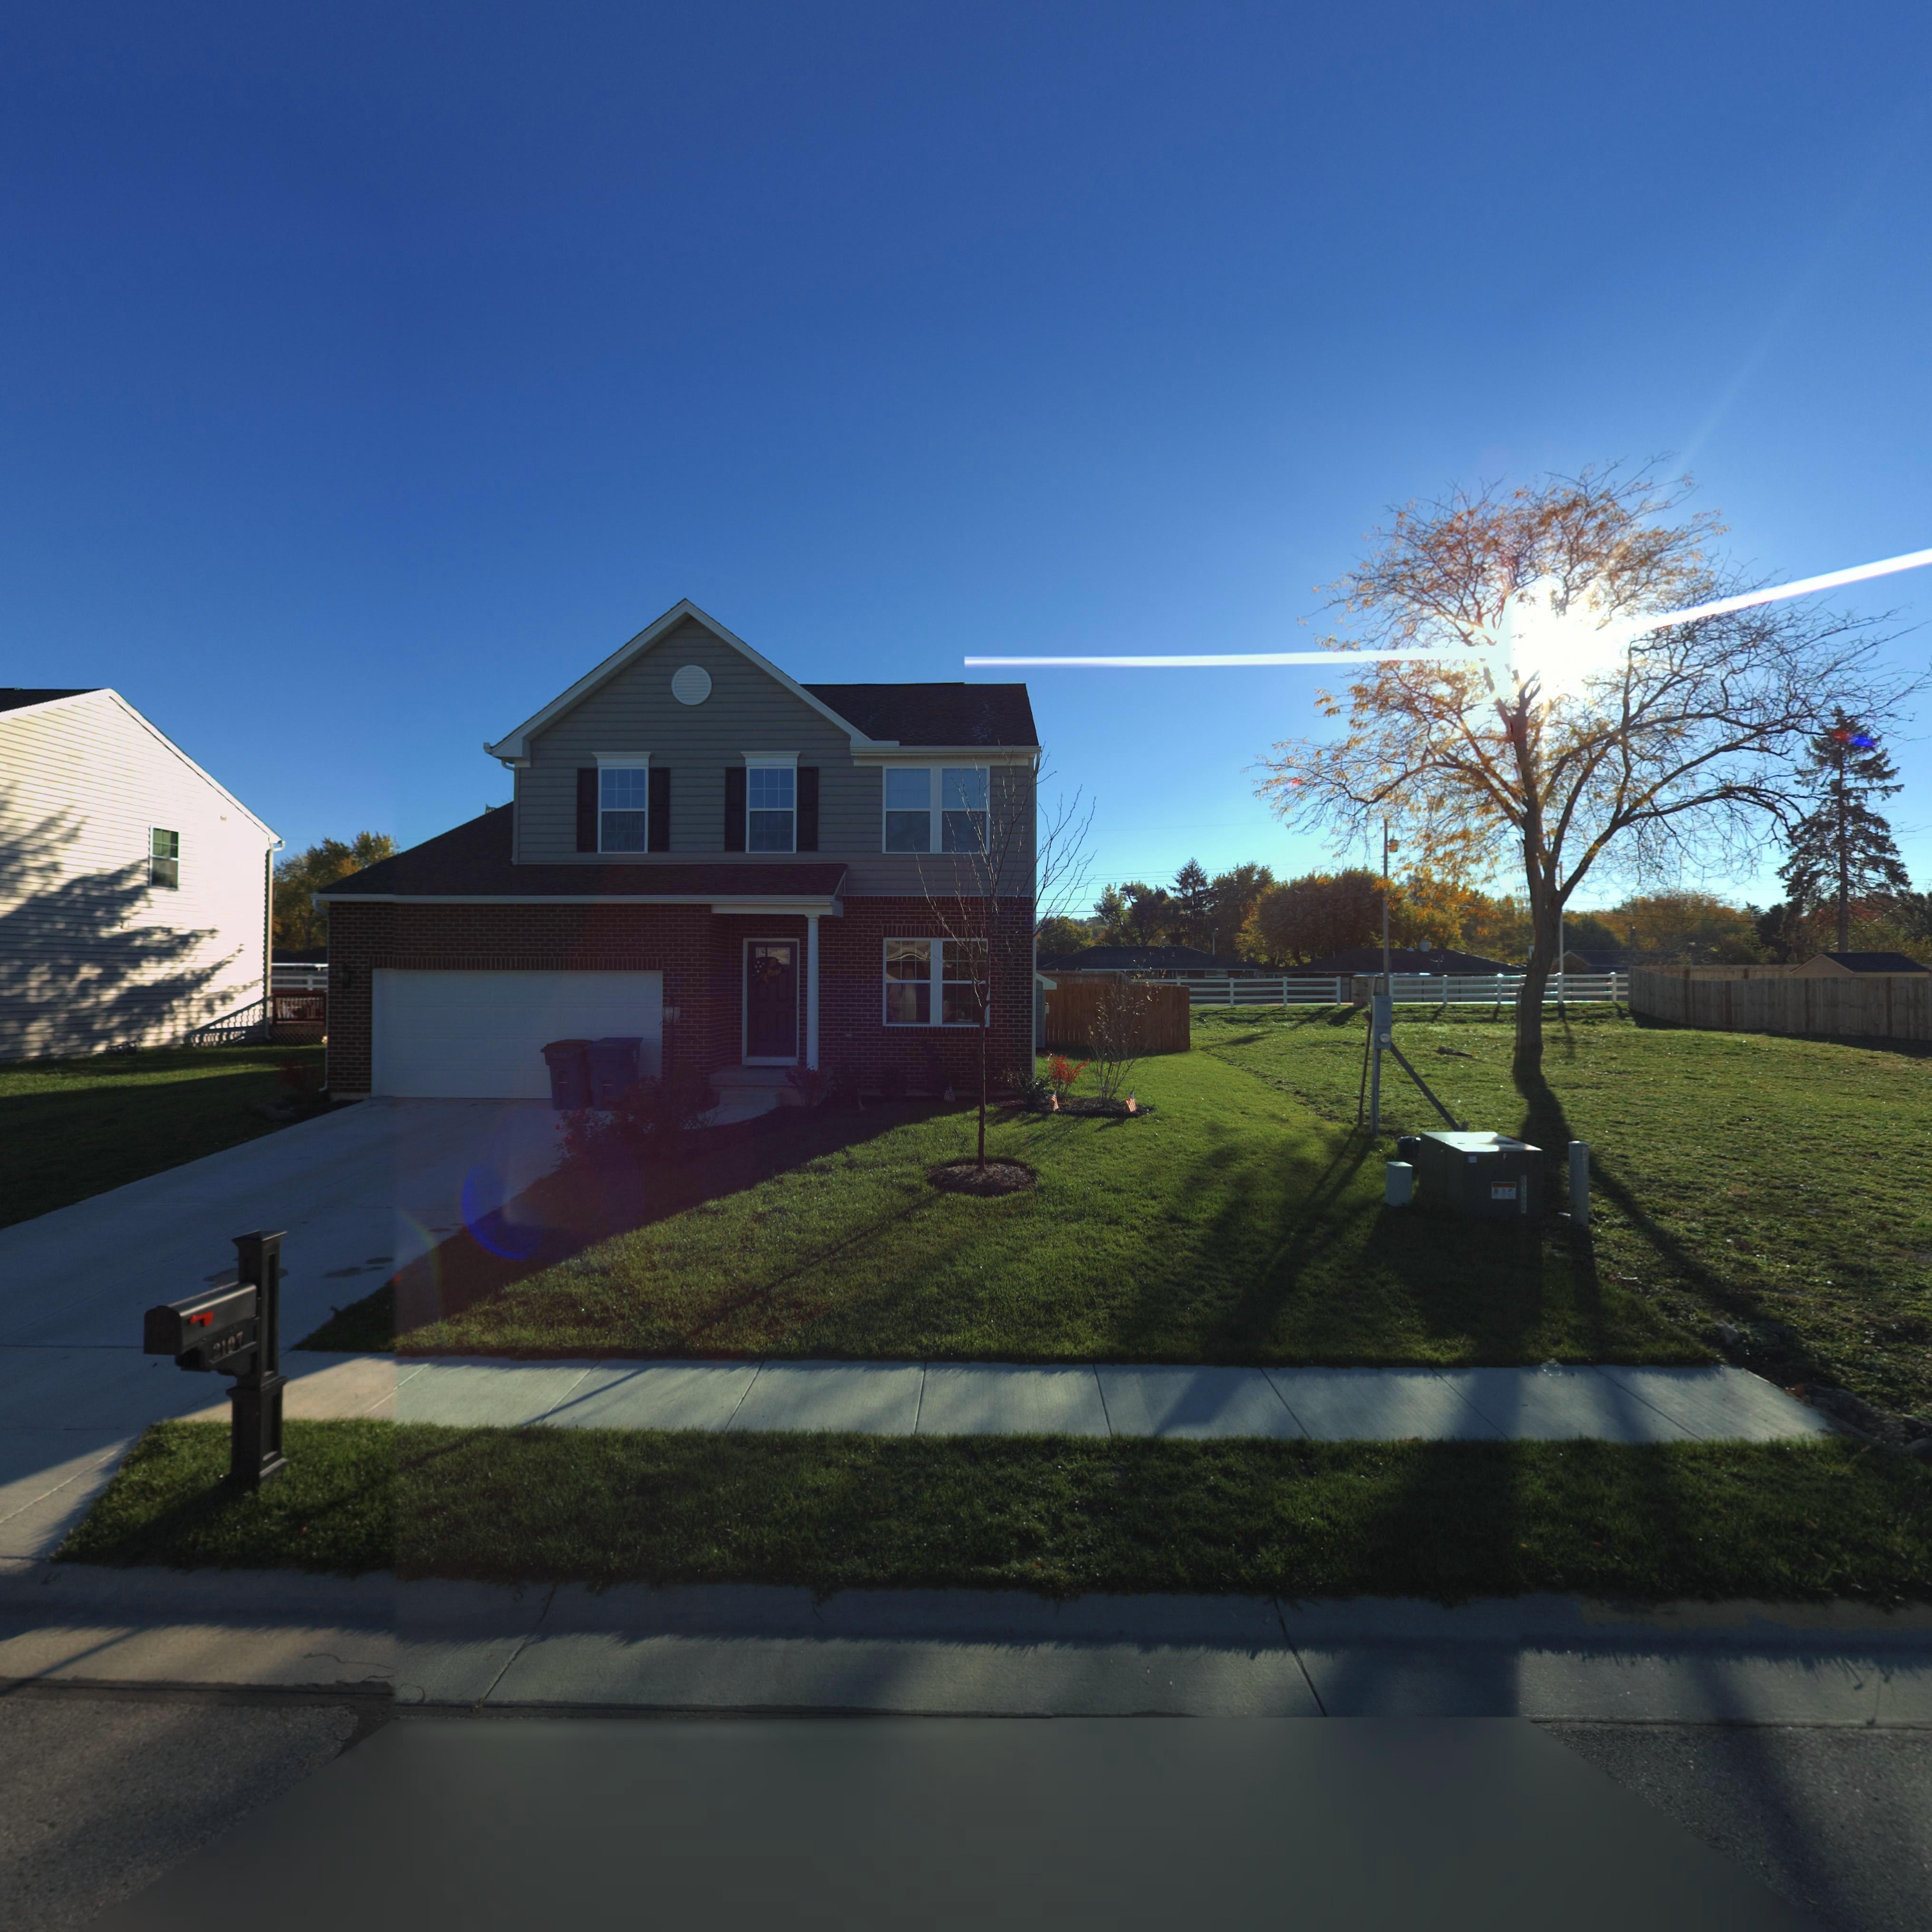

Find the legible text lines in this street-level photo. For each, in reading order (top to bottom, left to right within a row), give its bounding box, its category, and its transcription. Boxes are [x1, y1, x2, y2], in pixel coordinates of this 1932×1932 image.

[210, 1329, 244, 1361] StreetNumber: 2107